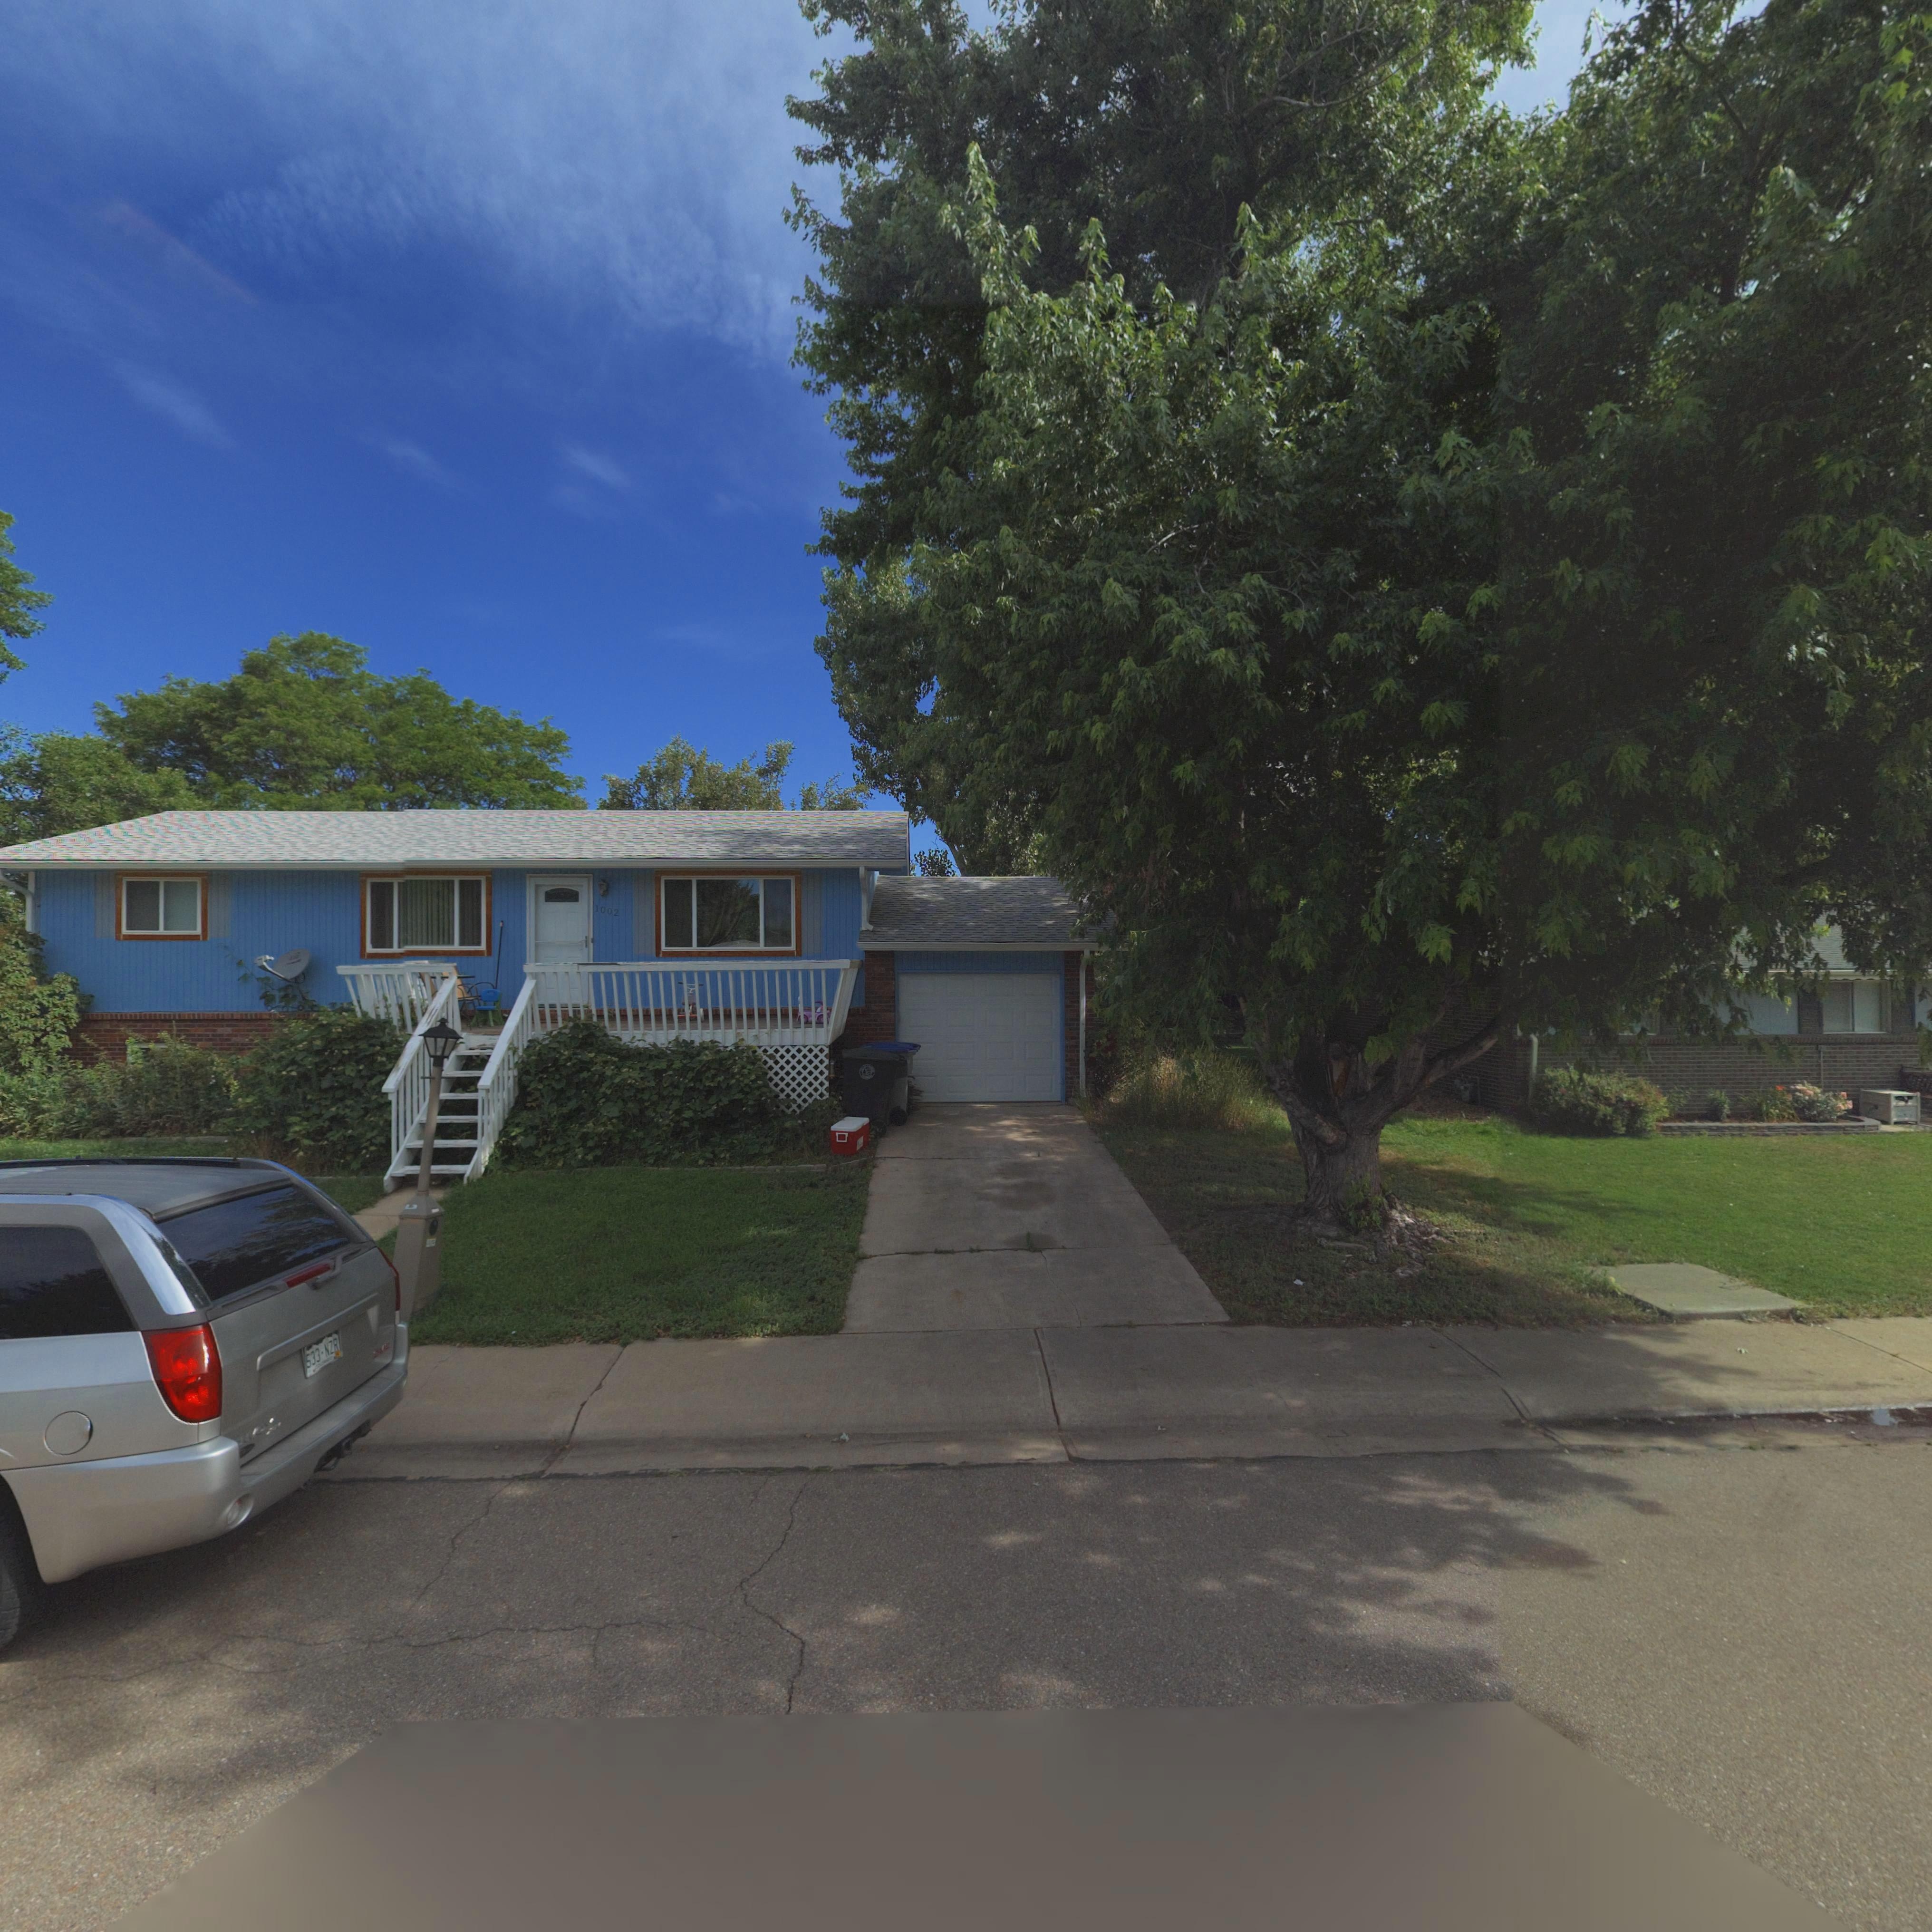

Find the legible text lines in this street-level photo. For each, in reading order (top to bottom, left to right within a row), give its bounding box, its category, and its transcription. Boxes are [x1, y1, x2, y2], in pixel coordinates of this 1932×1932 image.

[594, 904, 619, 917] StreetNumber: 1002